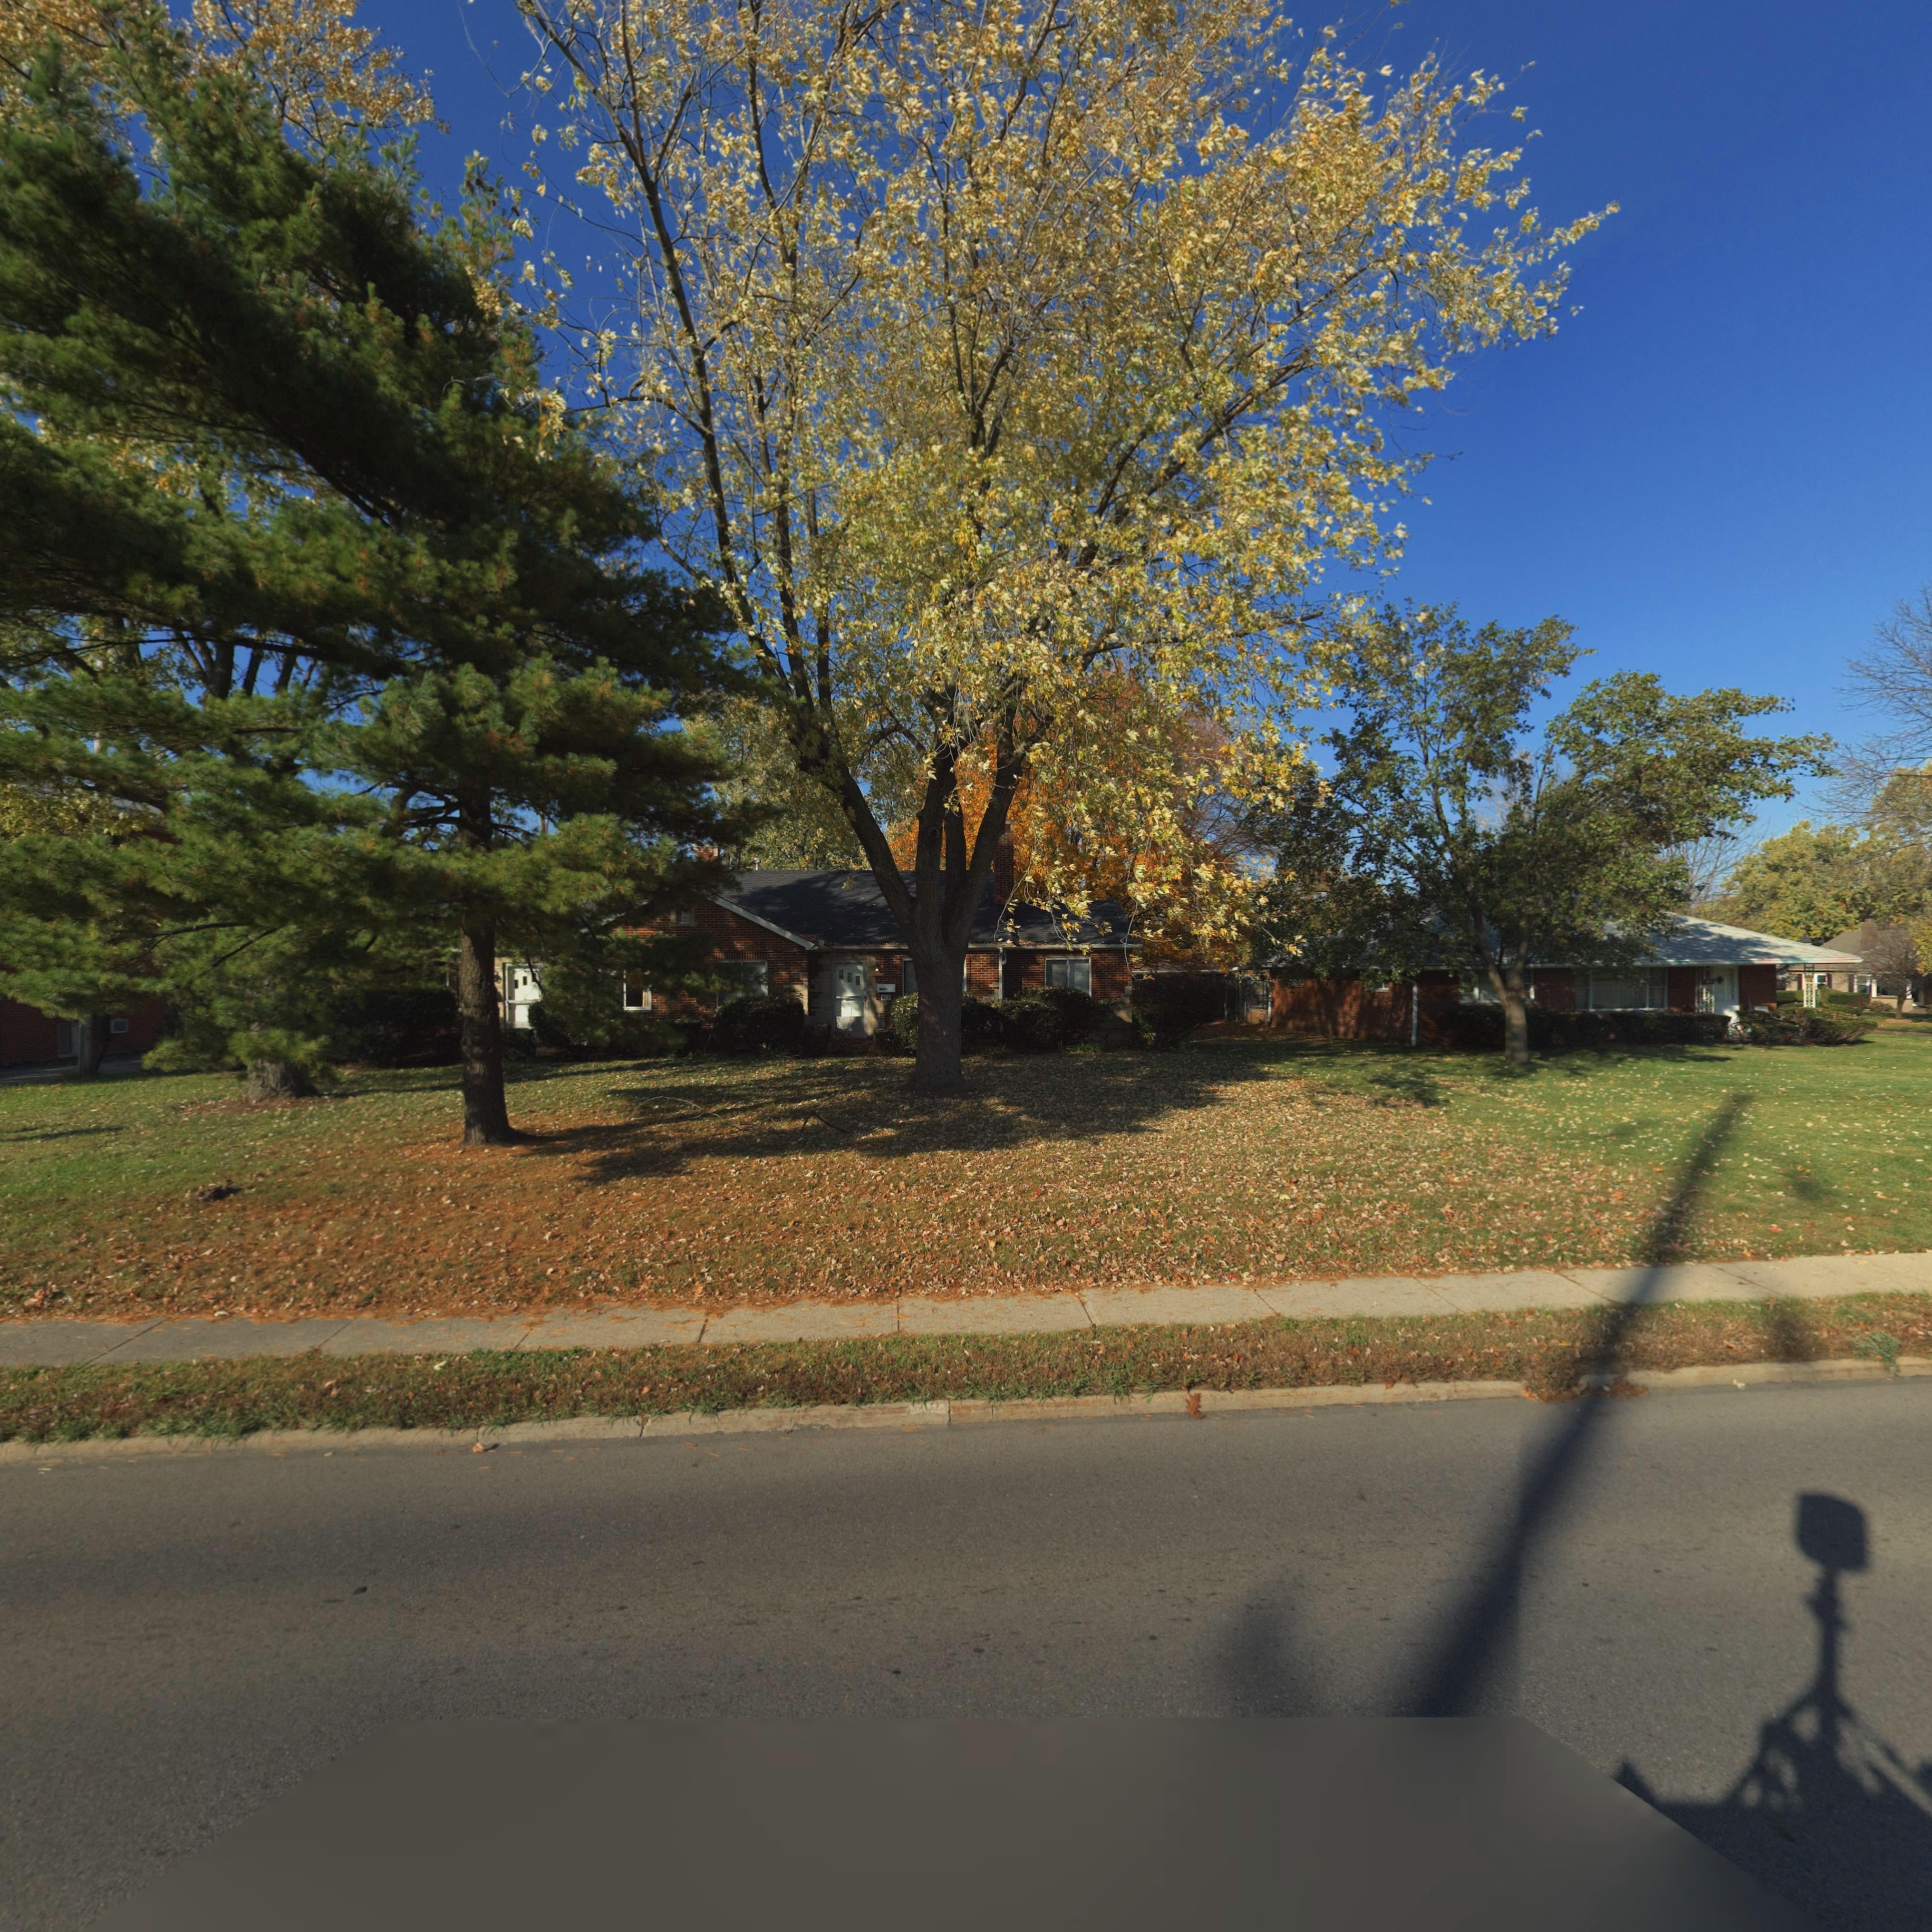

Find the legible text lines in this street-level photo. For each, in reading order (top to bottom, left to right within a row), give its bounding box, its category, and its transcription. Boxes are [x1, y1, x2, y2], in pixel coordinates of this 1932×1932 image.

[881, 995, 890, 1000] StreetNumber: 613